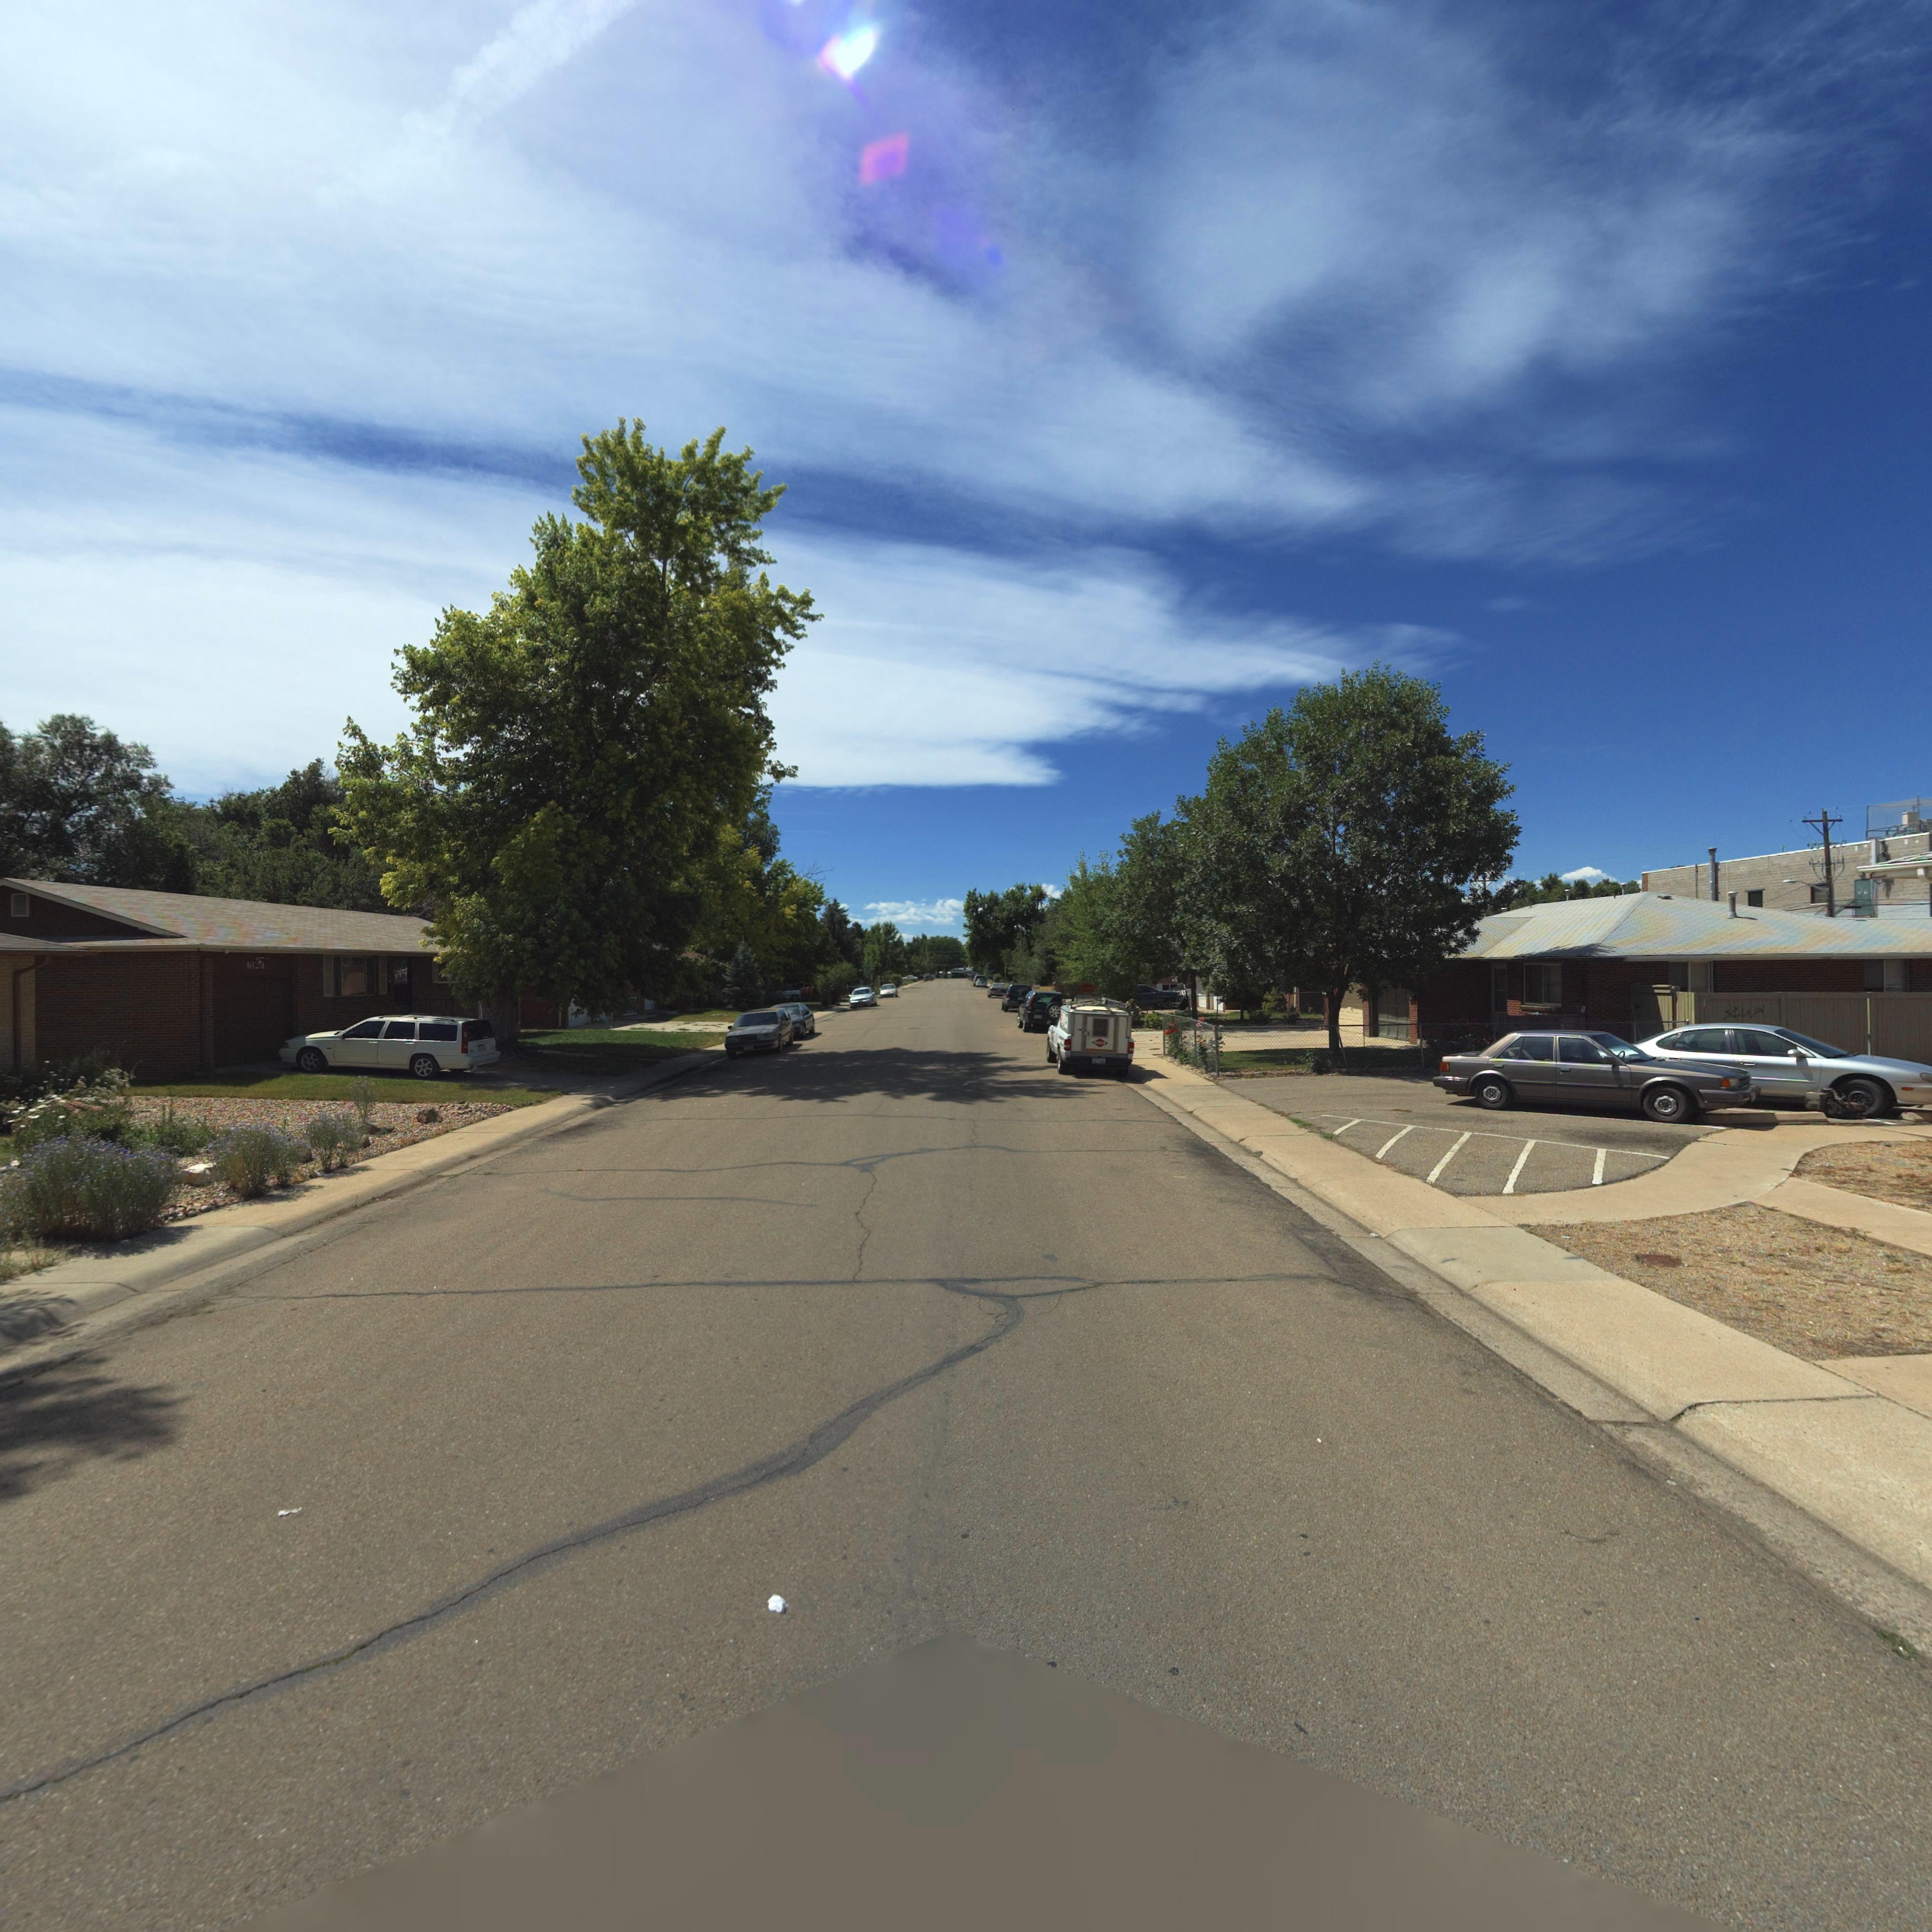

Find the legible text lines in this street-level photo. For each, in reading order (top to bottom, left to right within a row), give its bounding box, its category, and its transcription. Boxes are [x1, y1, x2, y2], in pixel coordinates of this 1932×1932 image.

[246, 961, 265, 970] StreetNumber: 1624